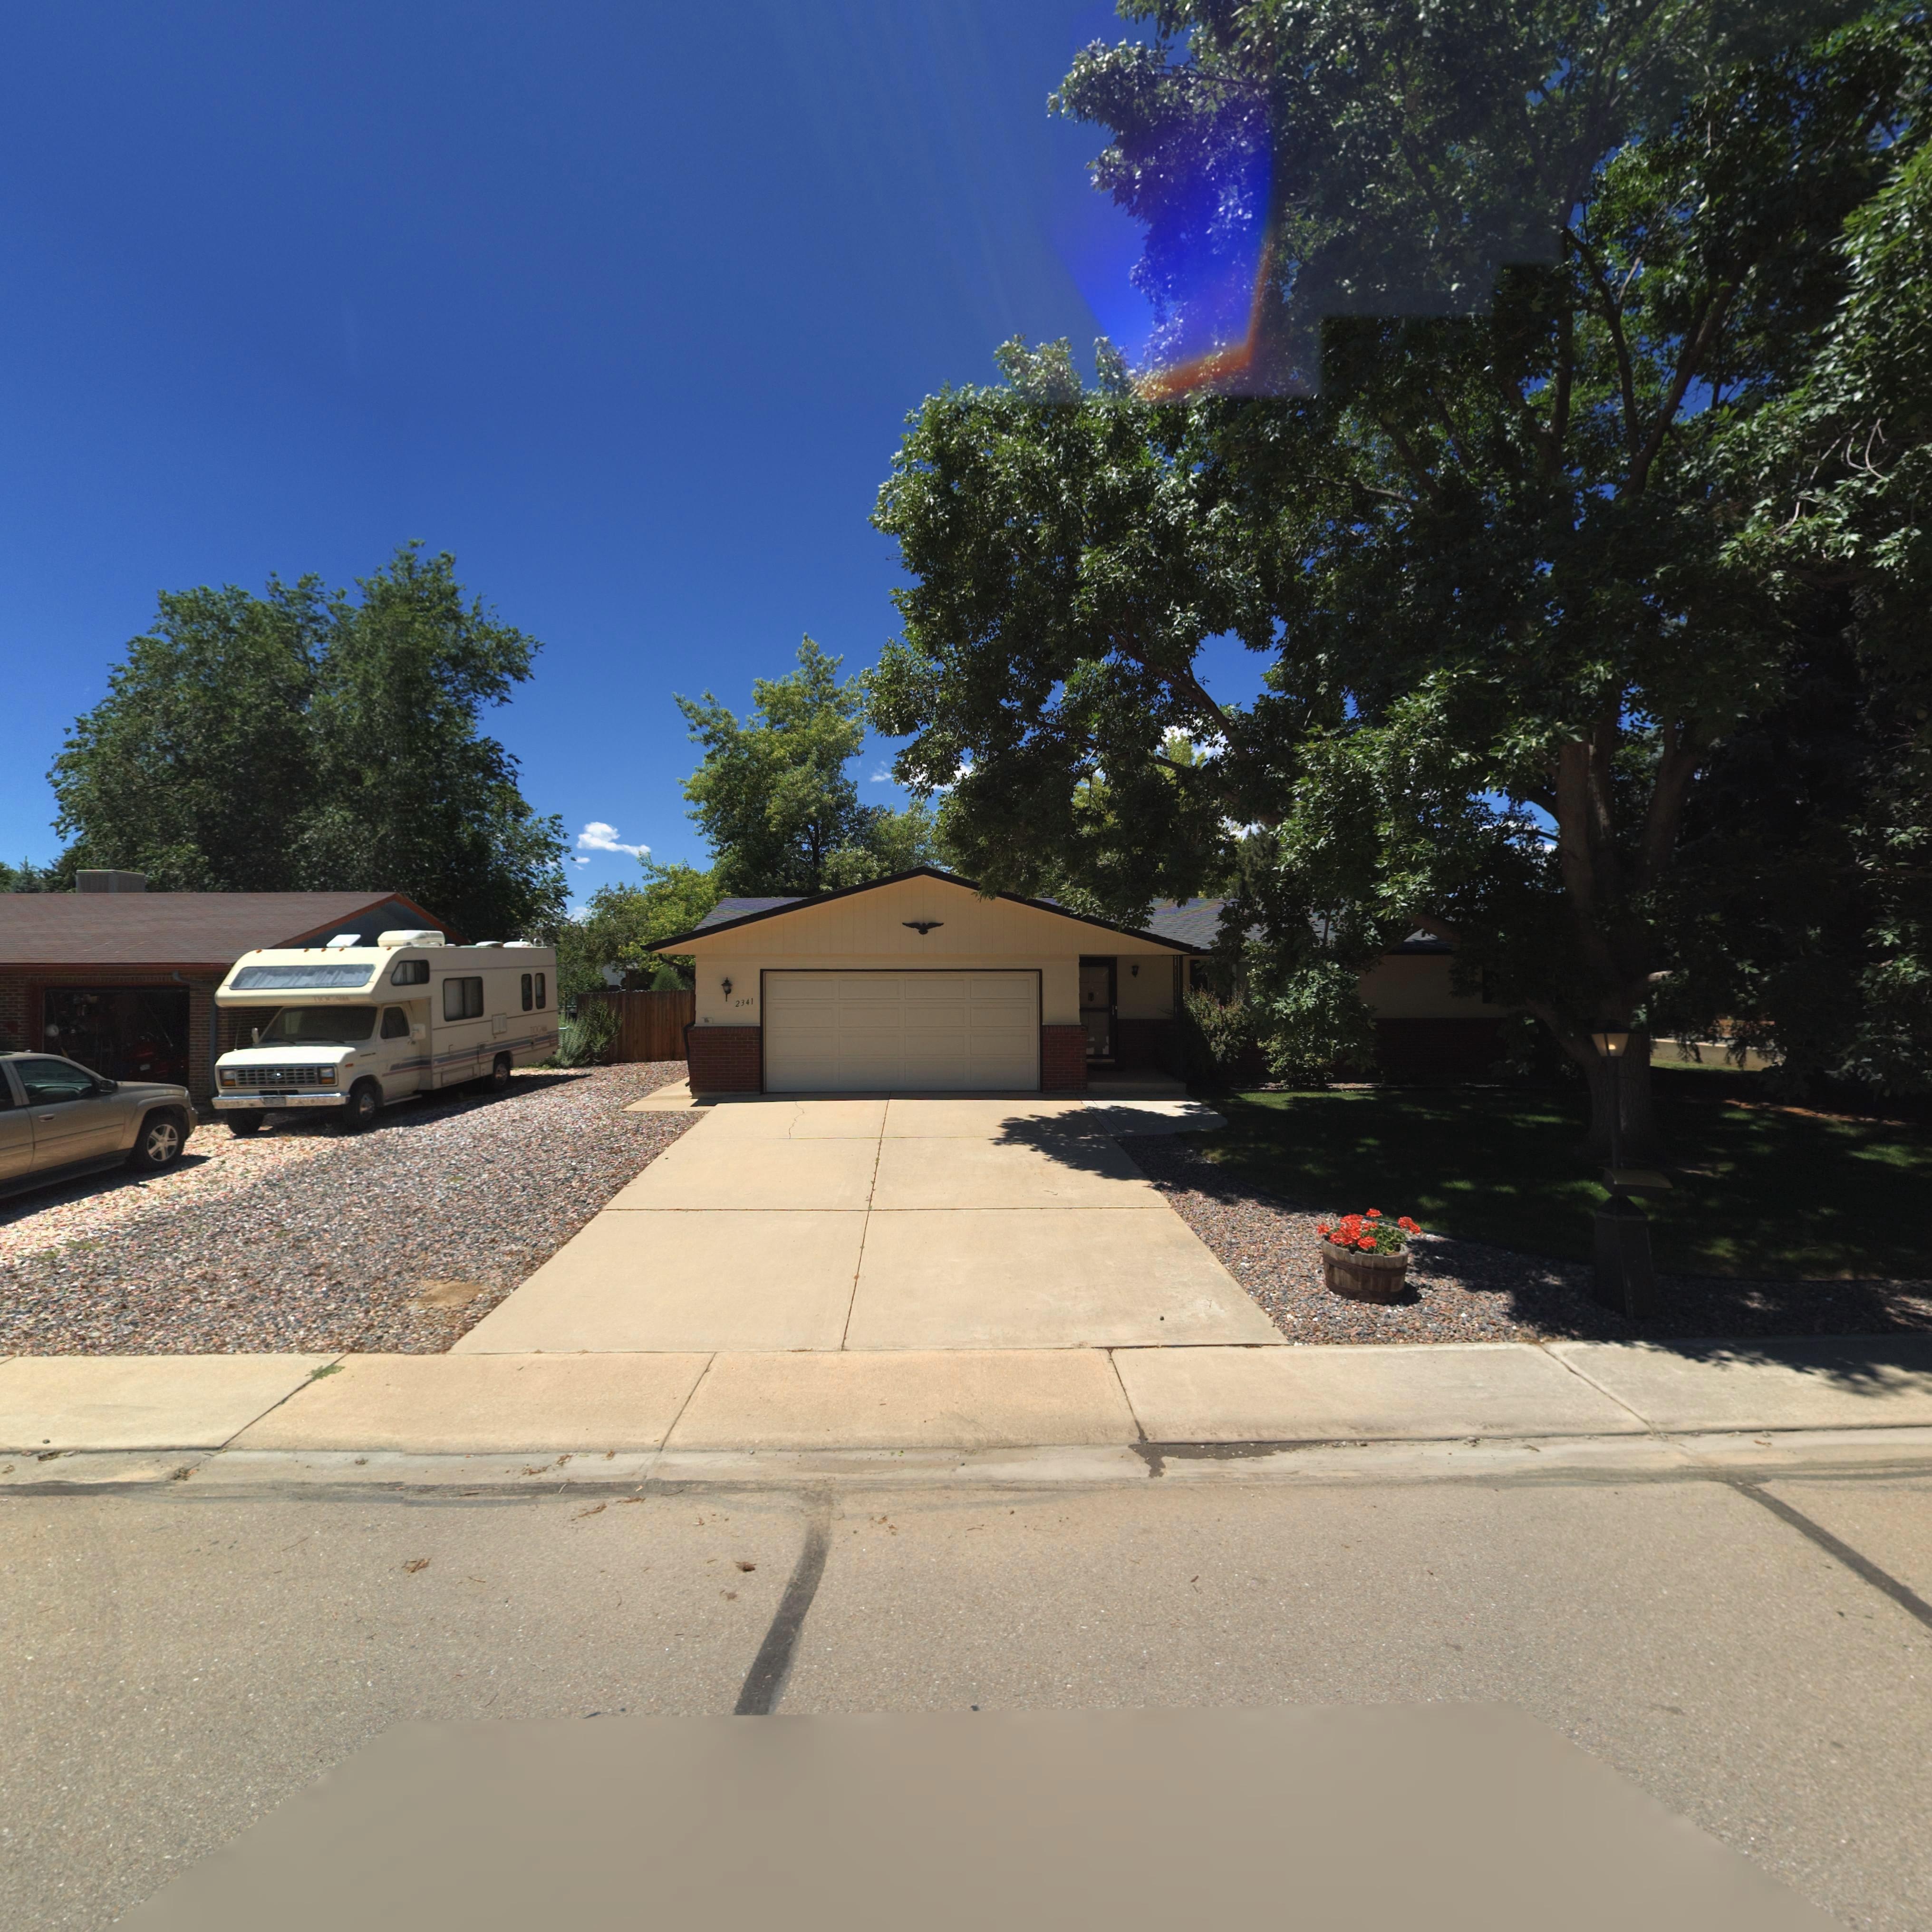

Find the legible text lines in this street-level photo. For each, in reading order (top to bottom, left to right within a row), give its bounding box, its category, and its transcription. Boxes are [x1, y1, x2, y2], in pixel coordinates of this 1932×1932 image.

[735, 997, 753, 1007] StreetNumber: 2341